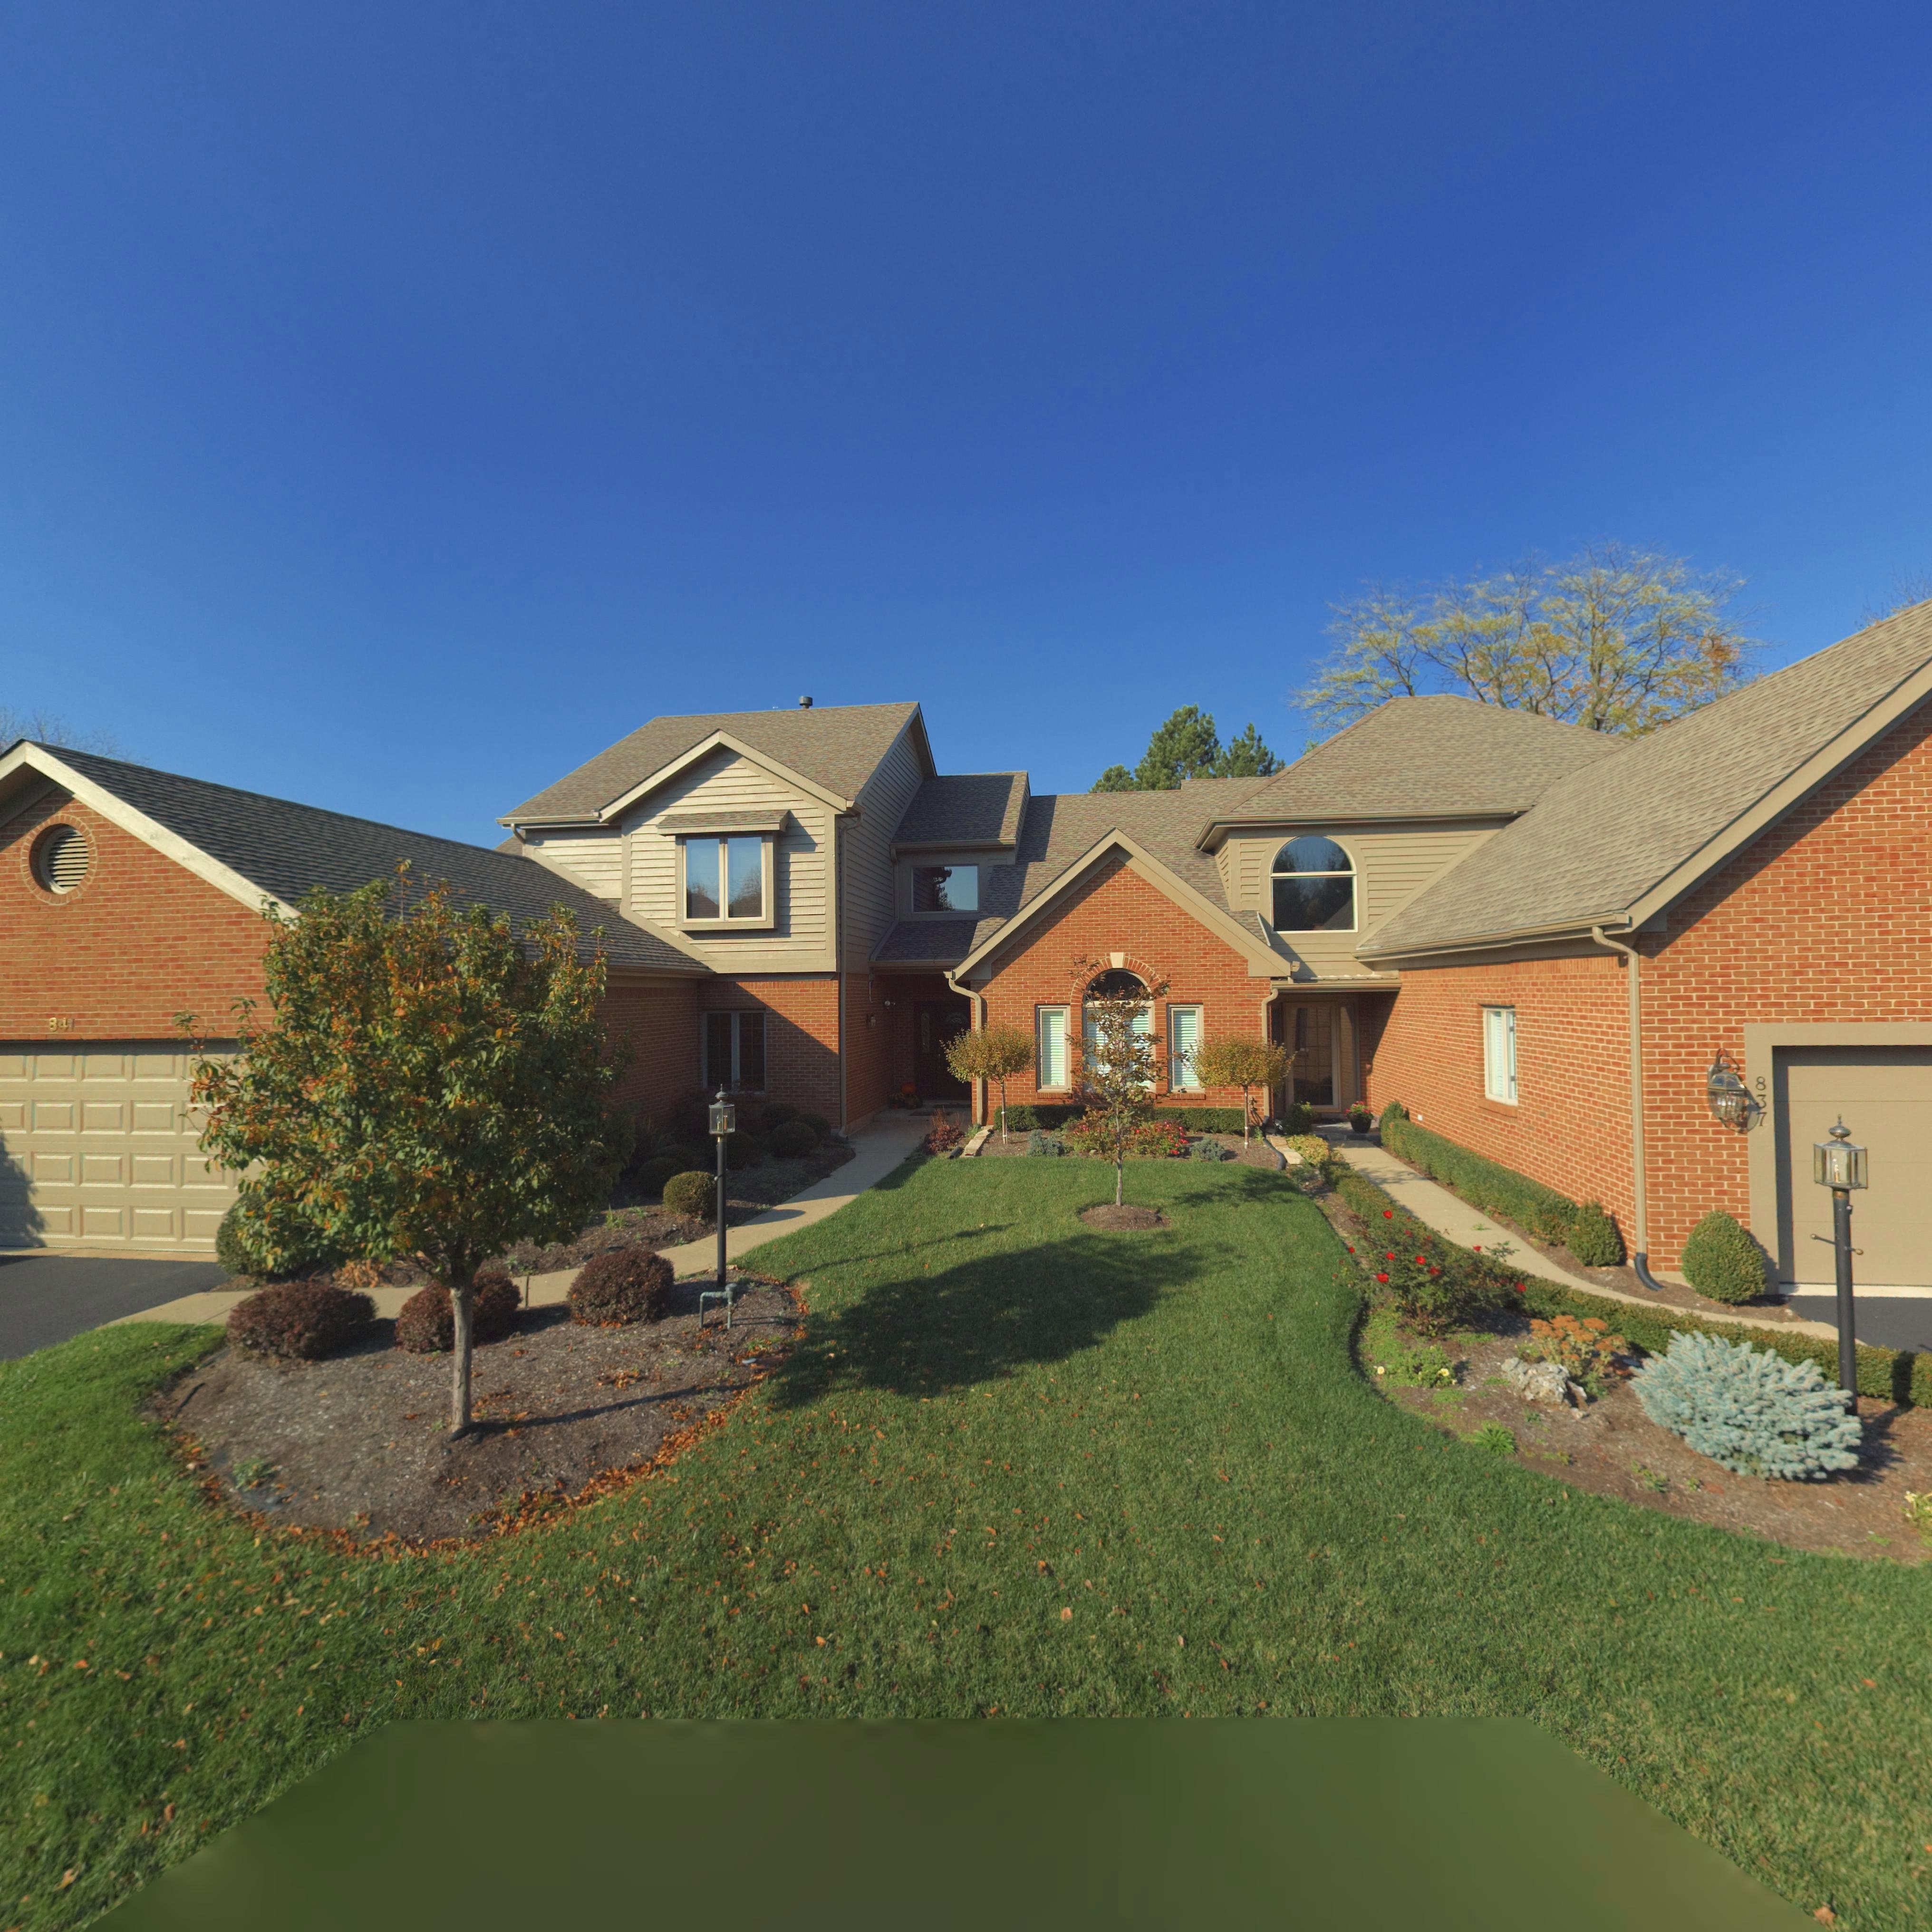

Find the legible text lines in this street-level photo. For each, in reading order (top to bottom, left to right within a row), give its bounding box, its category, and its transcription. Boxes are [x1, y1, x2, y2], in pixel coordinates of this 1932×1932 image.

[47, 1015, 77, 1034] StreetNumber: 841
[1754, 1074, 1768, 1128] StreetNumber: 837